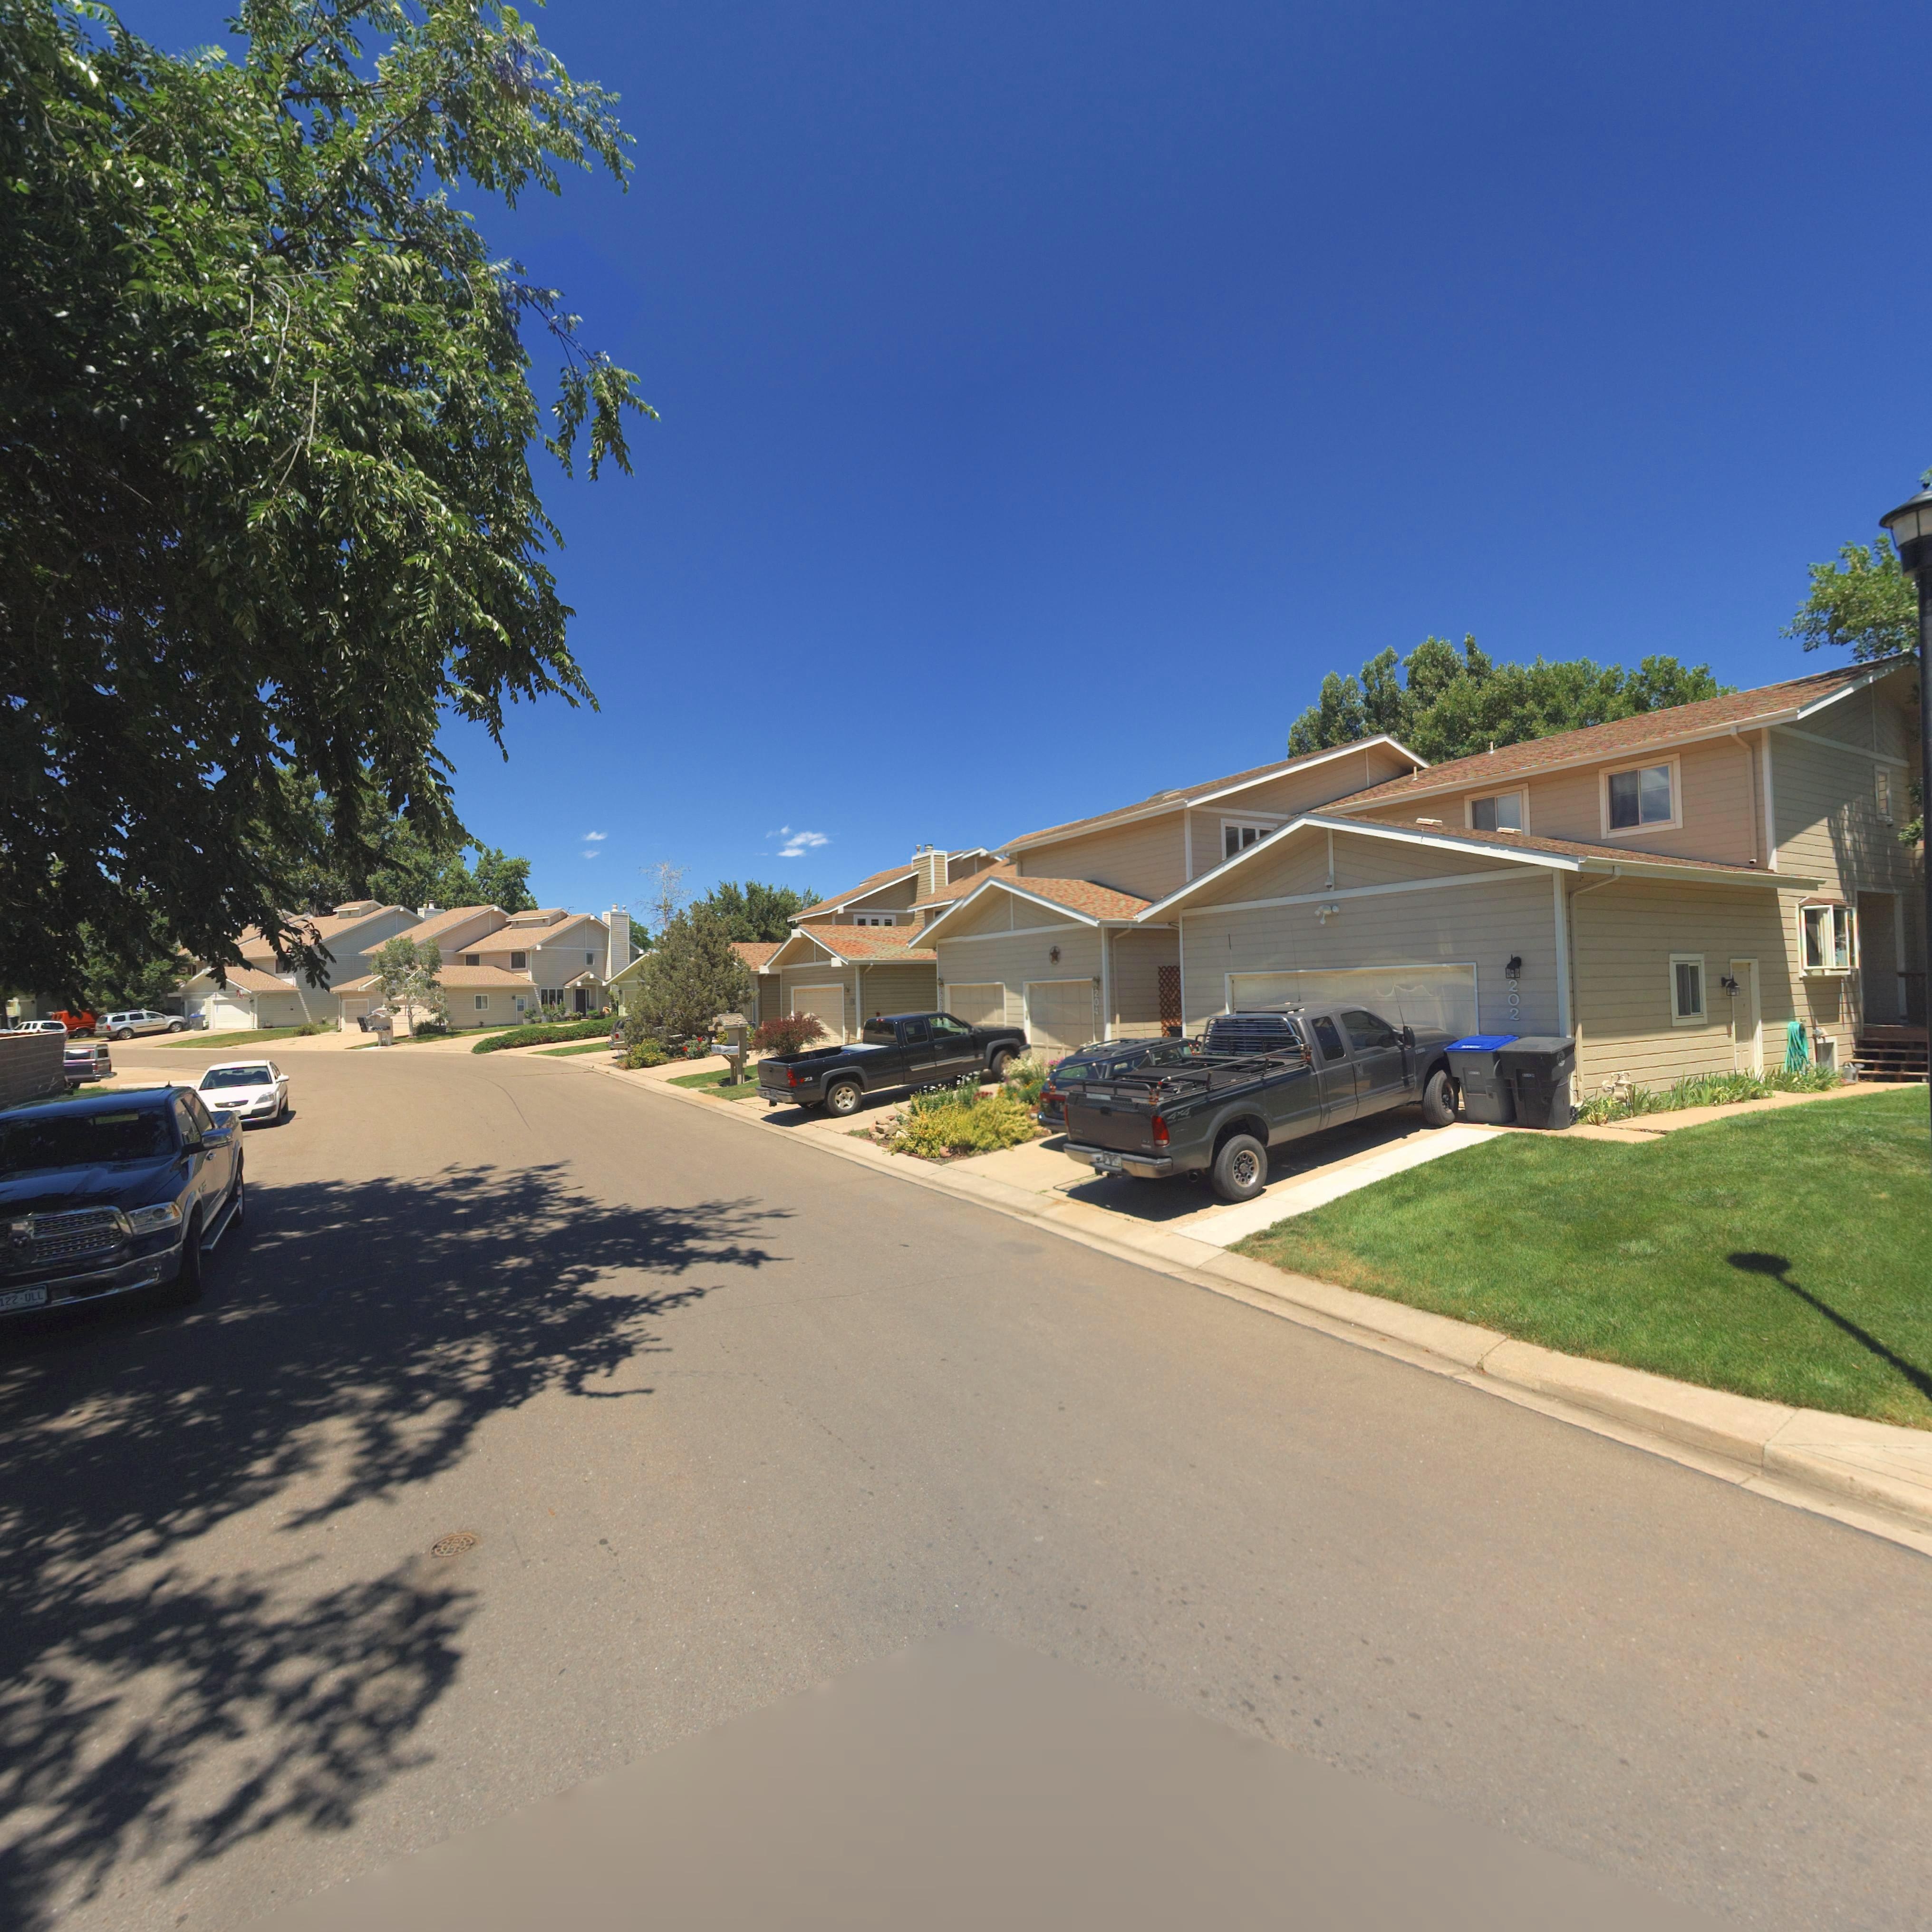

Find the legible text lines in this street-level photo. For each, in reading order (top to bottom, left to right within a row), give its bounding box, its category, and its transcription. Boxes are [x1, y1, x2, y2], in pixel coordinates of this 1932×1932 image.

[938, 986, 943, 1013] StreetNumber: 120*
[1093, 989, 1100, 1015] StreetNumber: 204
[1507, 978, 1520, 1021] StreetNumber: 202